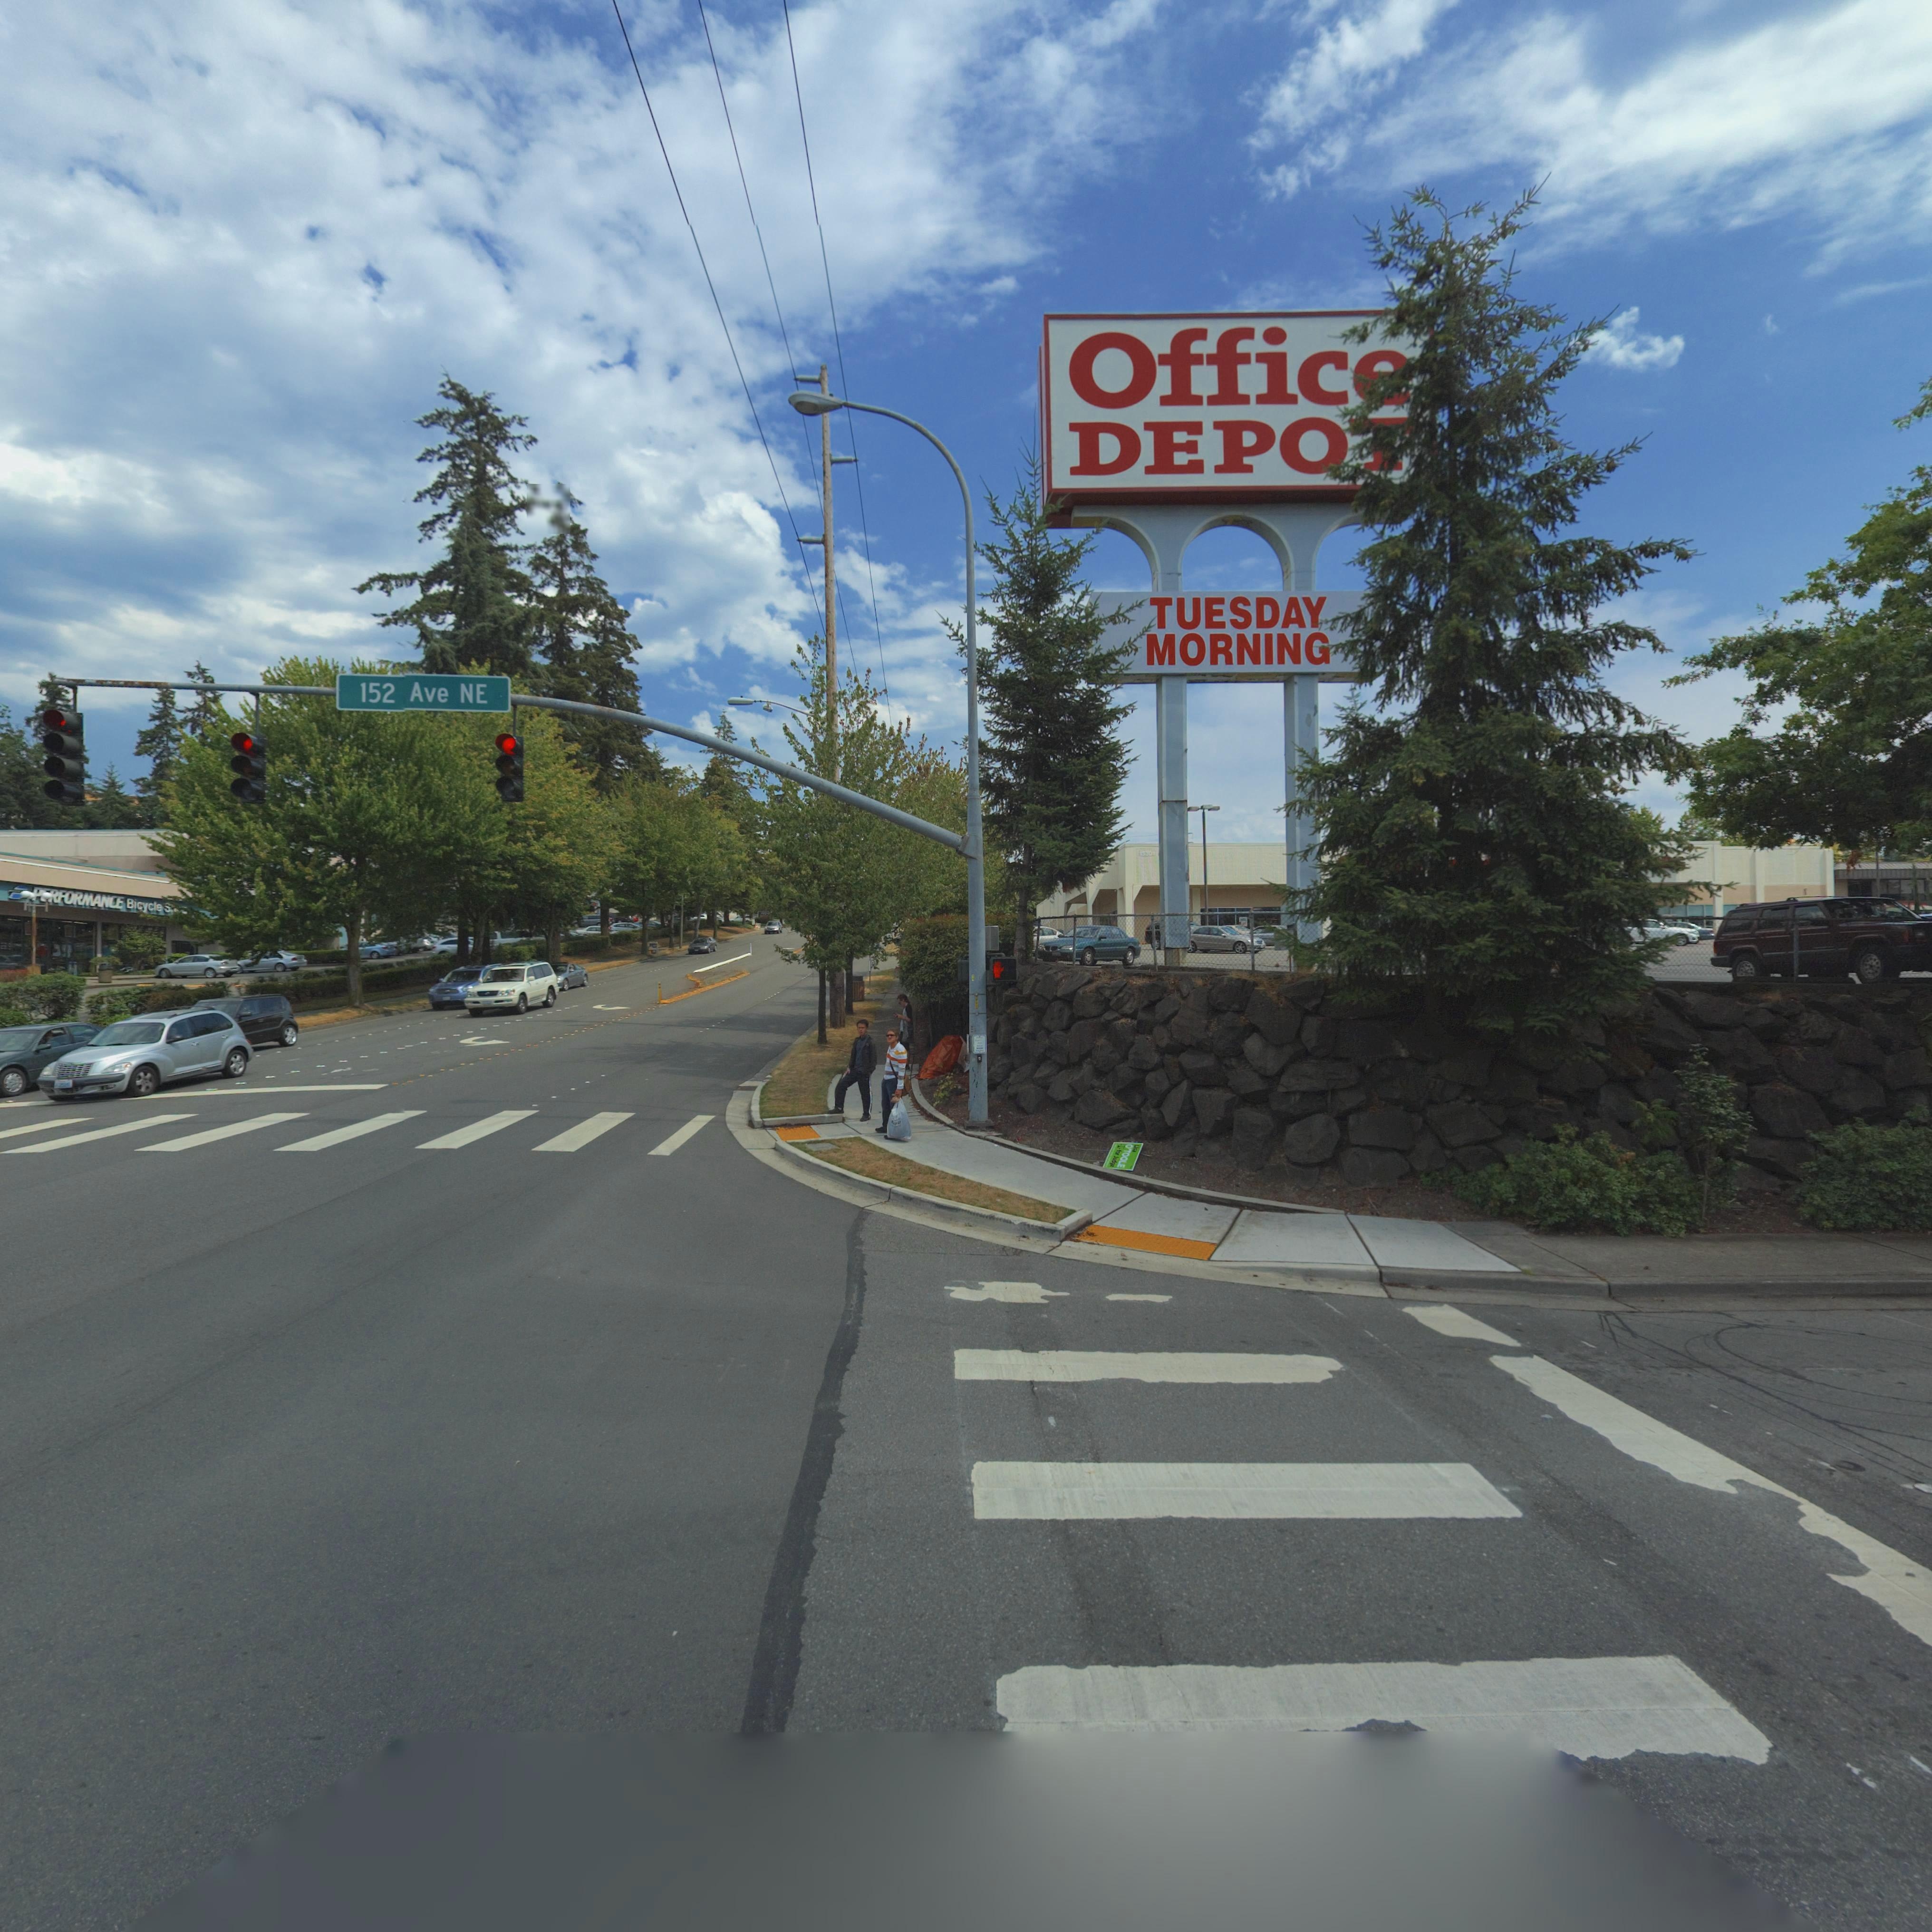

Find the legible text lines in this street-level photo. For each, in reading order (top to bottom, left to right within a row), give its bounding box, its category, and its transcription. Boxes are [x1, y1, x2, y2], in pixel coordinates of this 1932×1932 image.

[1069, 328, 1410, 407] BusinessName: Offic*
[1067, 415, 1405, 473] BusinessName: DEPO*
[1150, 597, 1326, 629] BusinessName: TUESDAY
[1142, 632, 1330, 665] BusinessName: MORNING
[360, 681, 489, 705] StreetName: 152 Ave NE
[32, 886, 172, 915] BusinessName: P*RFORMANCE Bicycle S